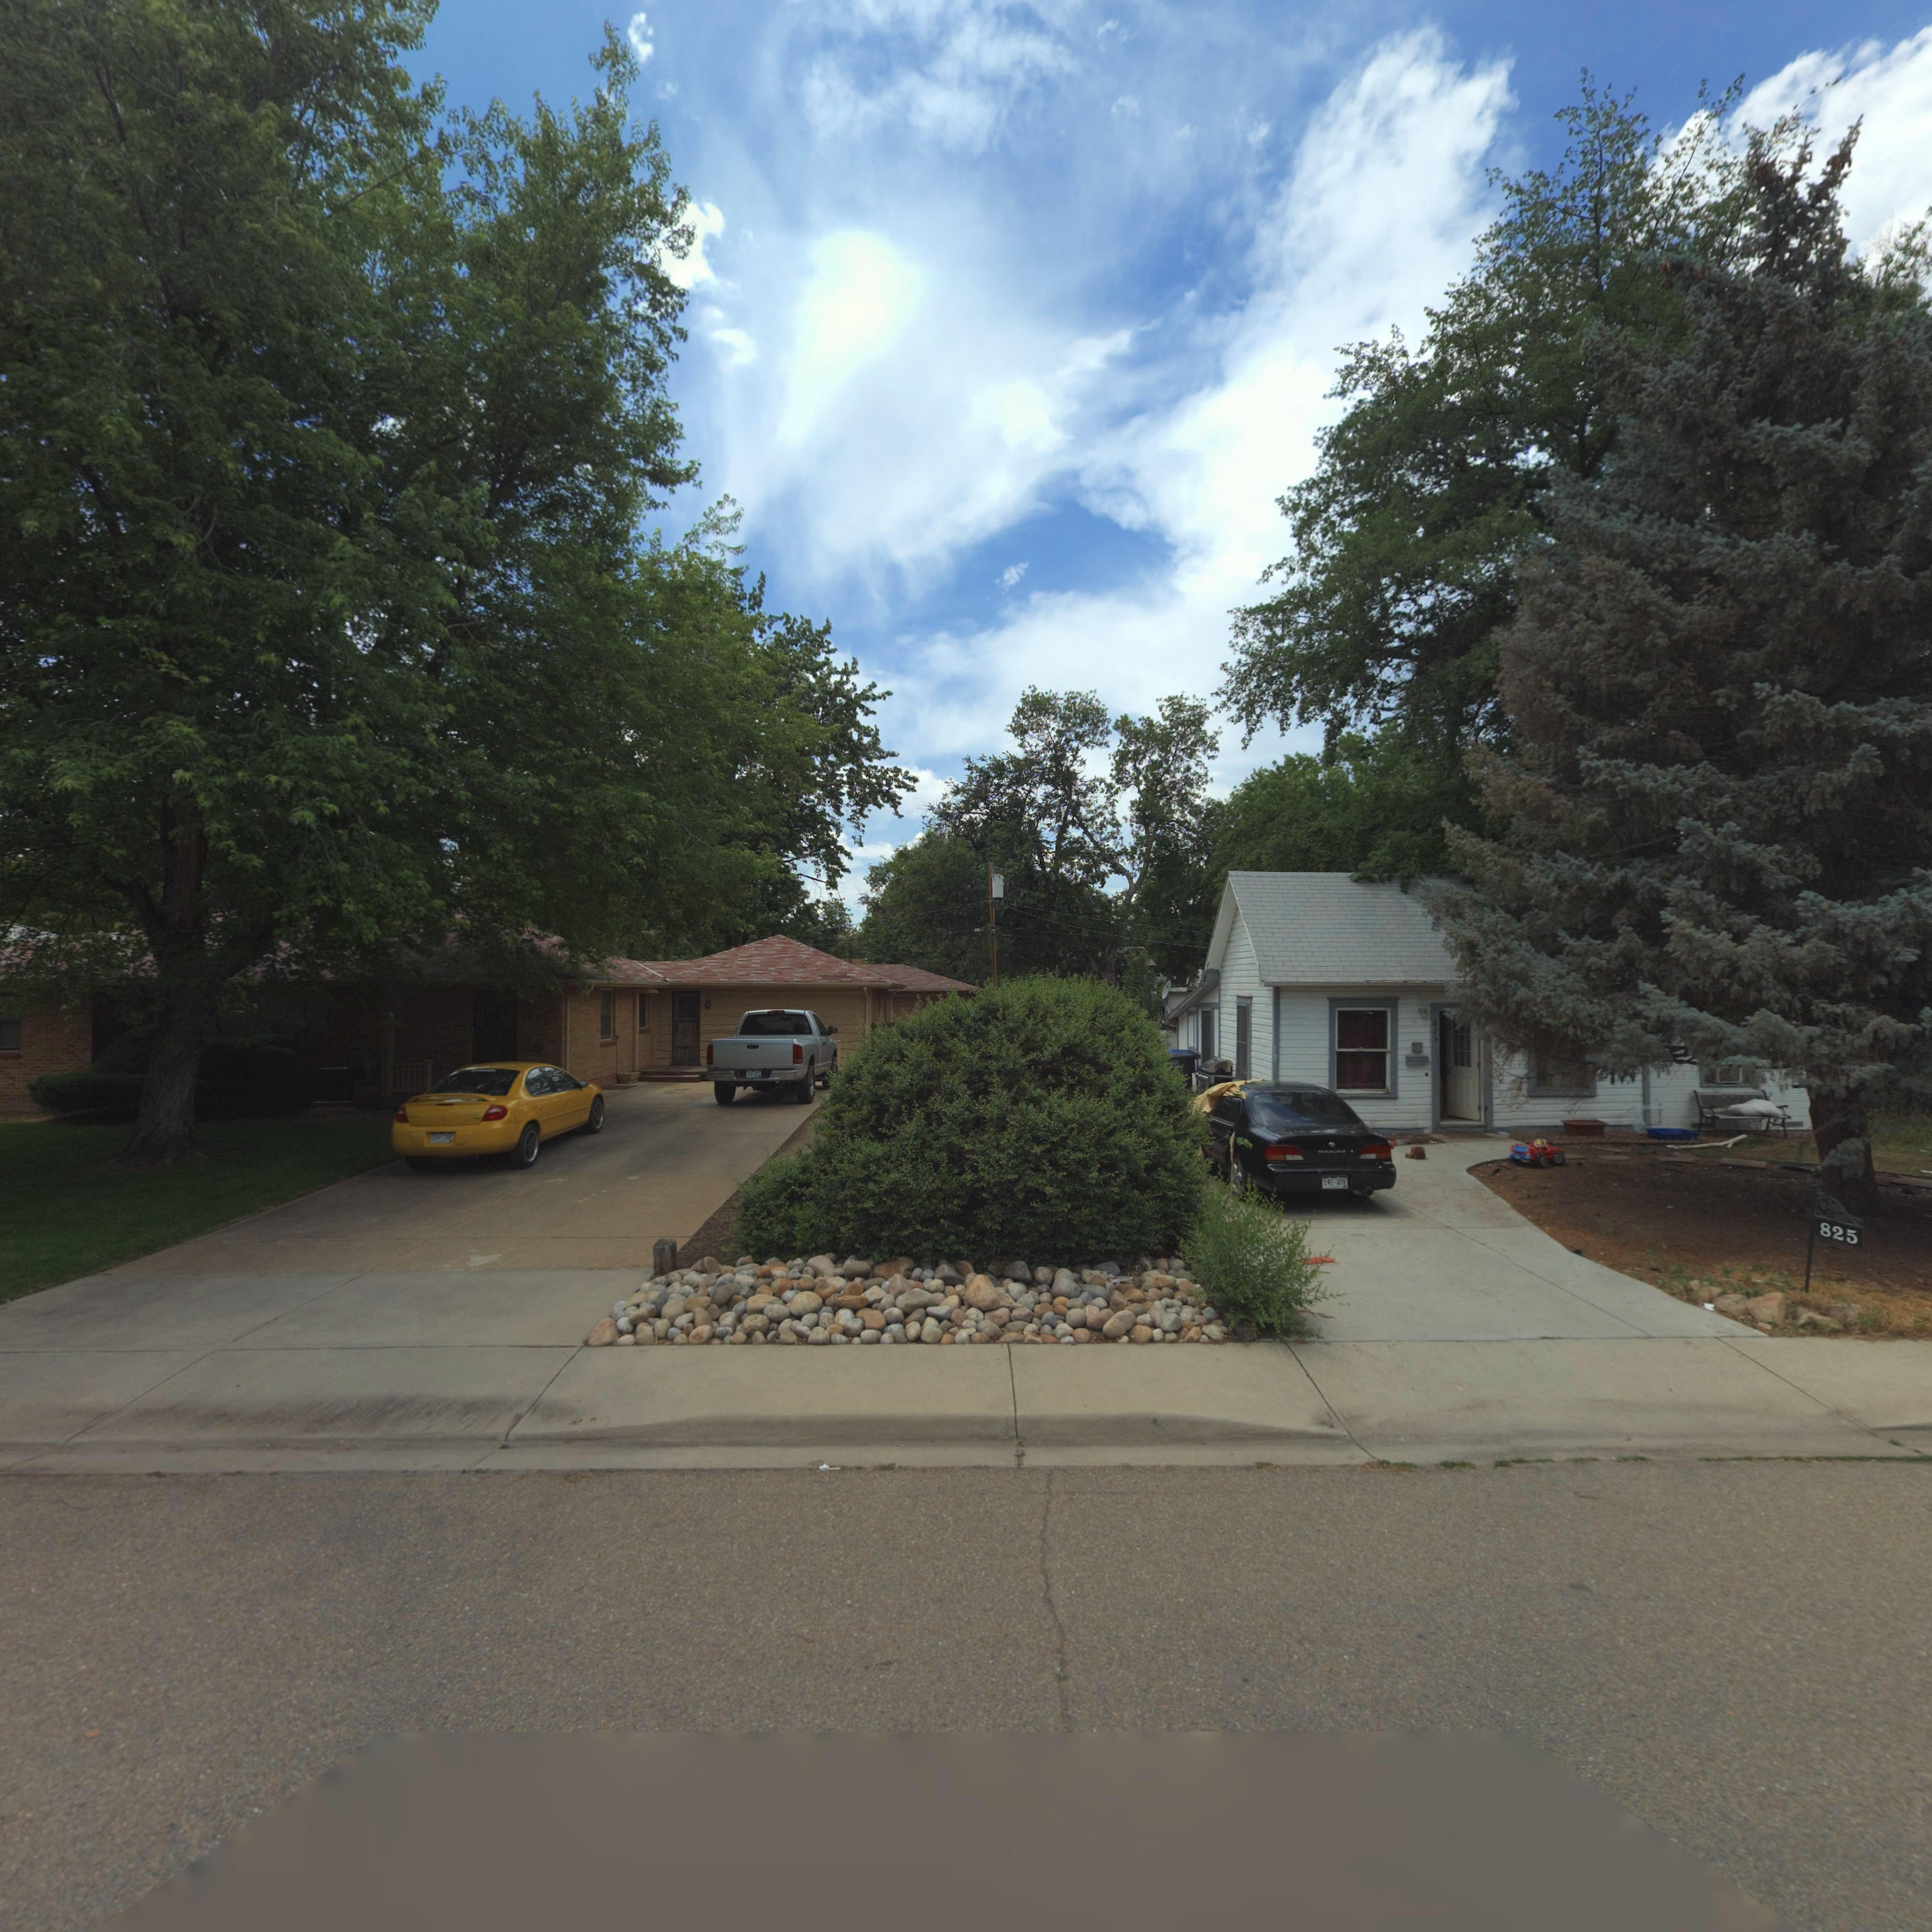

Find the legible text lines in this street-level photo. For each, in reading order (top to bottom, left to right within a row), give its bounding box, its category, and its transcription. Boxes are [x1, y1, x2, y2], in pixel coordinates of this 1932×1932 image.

[534, 1013, 549, 1026] StreetNumber: 23
[1432, 1018, 1439, 1043] StreetNumber: 825
[1818, 1221, 1859, 1245] StreetNumber: 825